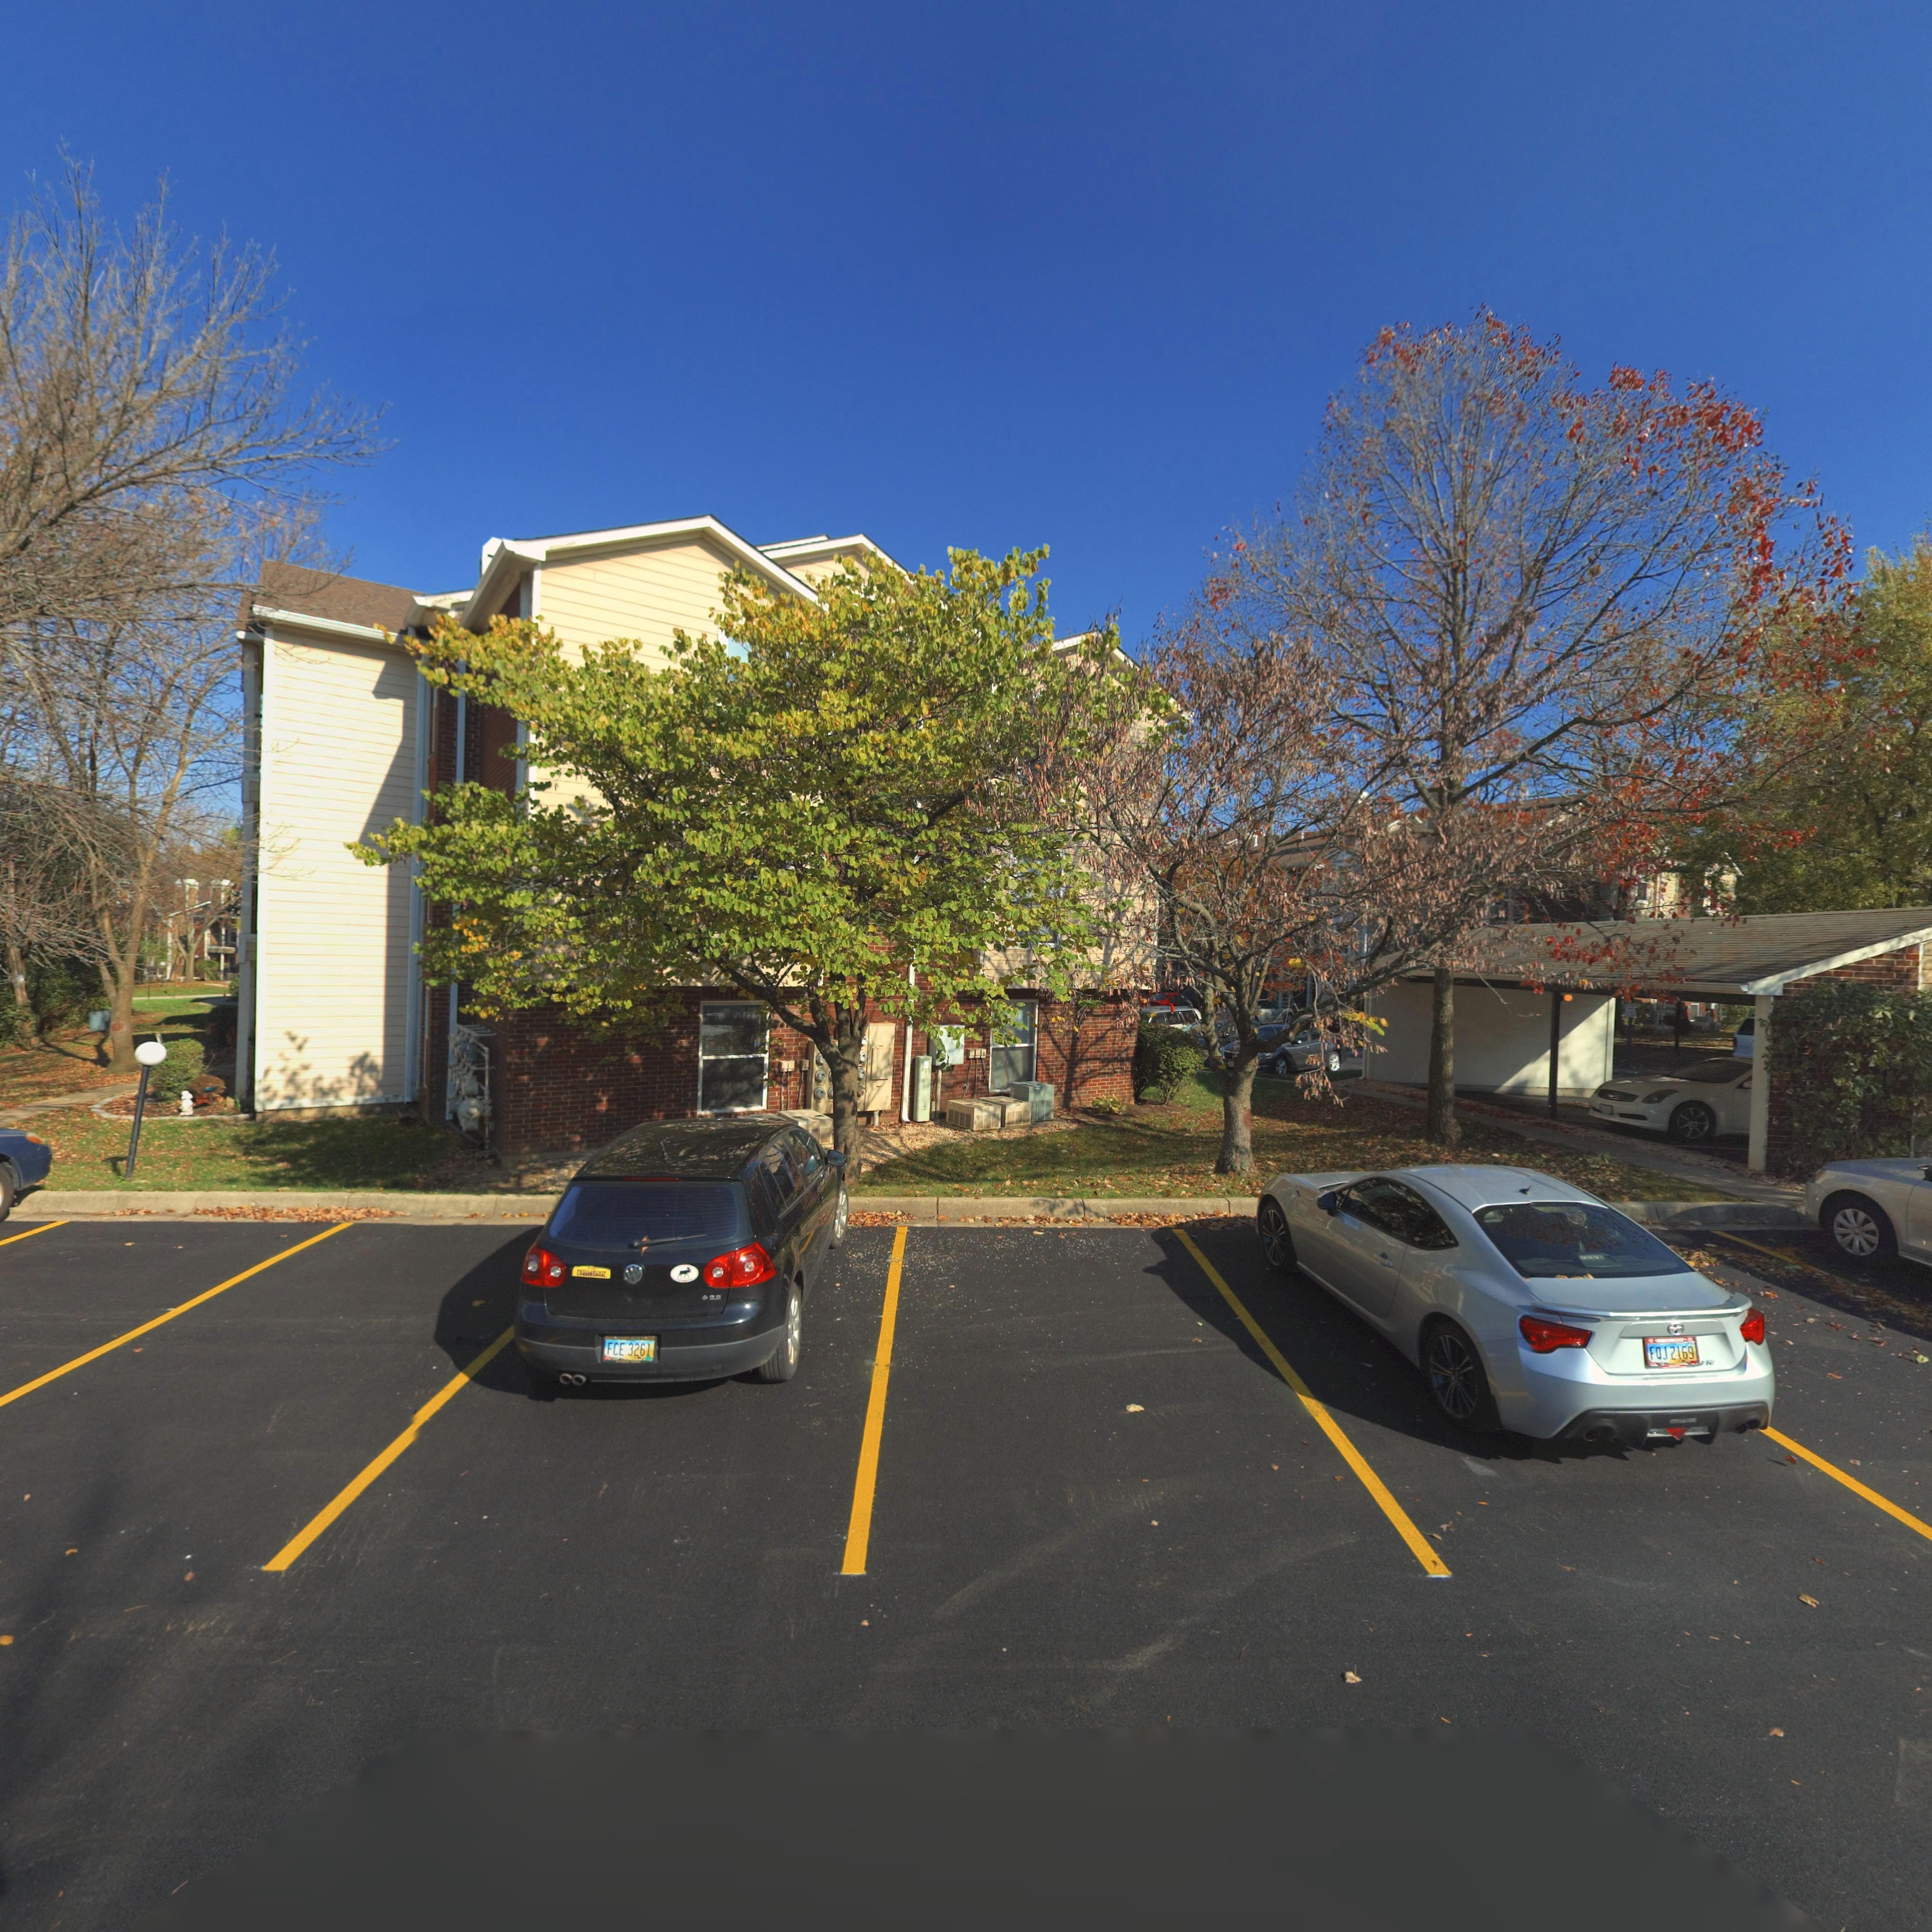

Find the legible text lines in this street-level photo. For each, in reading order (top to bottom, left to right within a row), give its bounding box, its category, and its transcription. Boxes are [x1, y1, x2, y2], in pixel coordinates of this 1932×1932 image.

[606, 1341, 651, 1357] None: FCE 3261
[1648, 1344, 1695, 1361] None: FQJ 2169